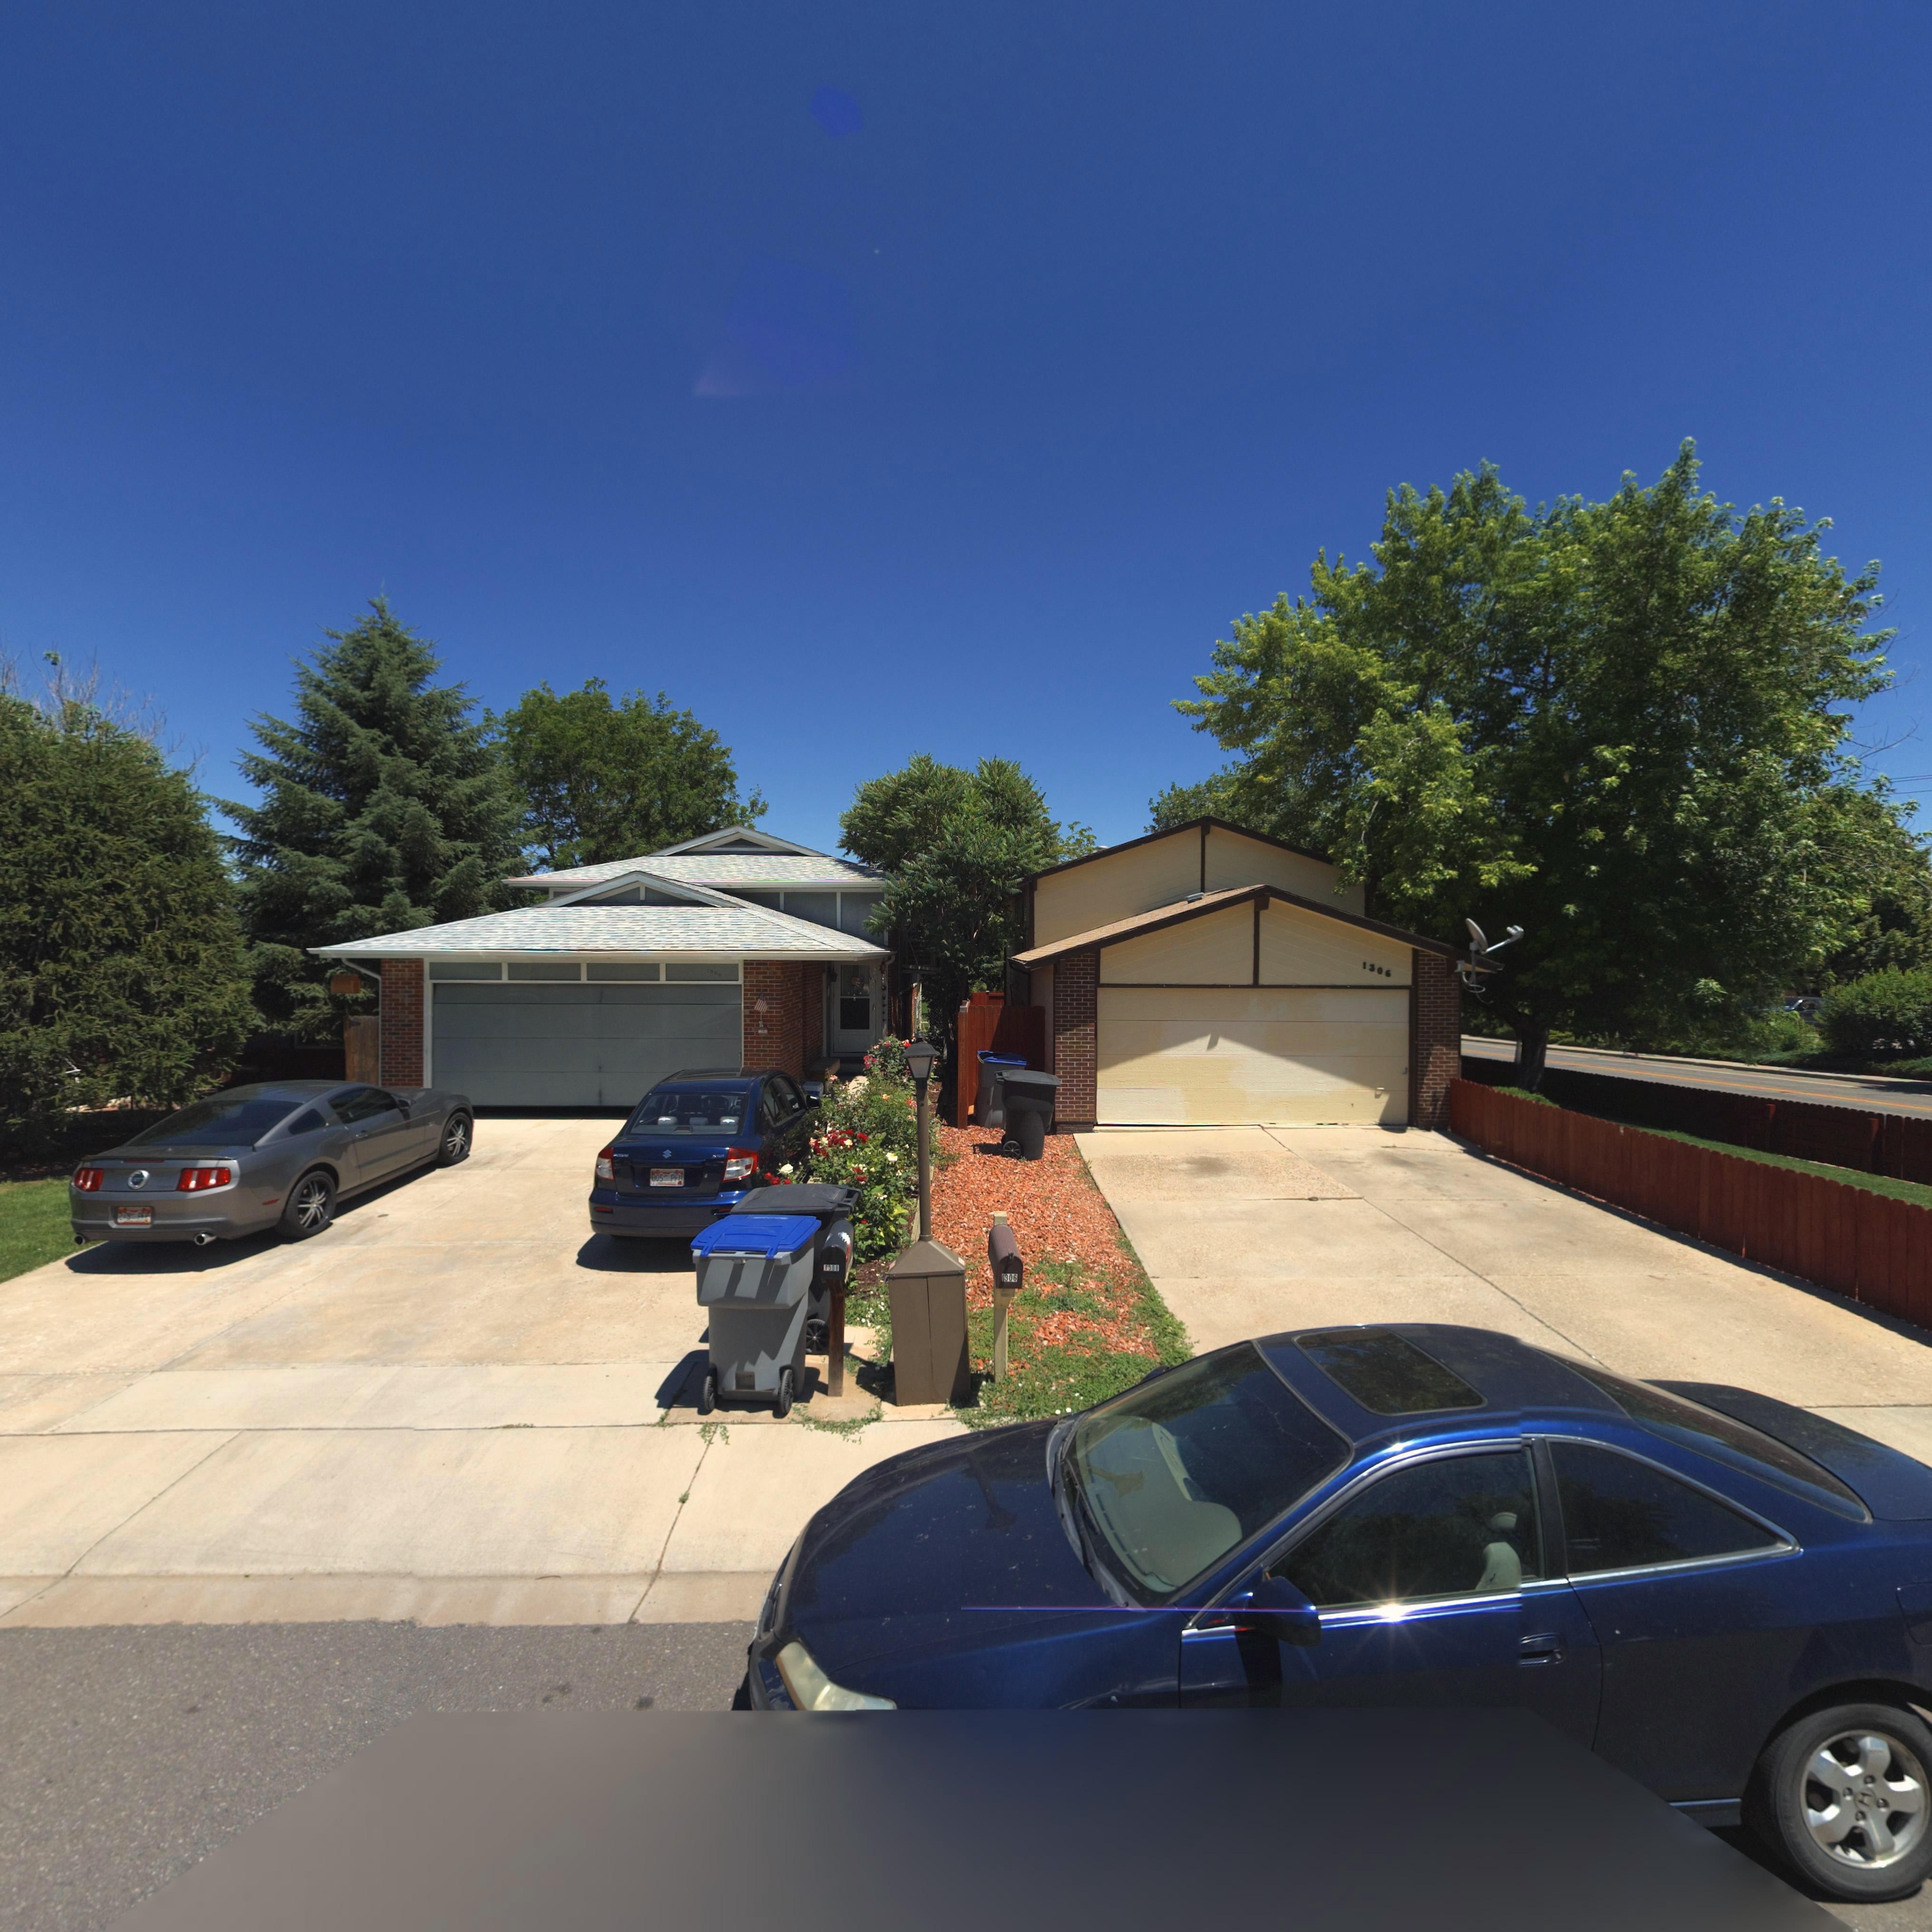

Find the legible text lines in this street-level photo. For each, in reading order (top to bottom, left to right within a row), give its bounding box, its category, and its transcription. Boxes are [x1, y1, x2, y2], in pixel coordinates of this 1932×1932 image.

[1362, 961, 1391, 978] StreetNumber: 1306
[825, 1265, 838, 1270] StreetNumber: 1308
[1002, 1274, 1017, 1281] StreetNumber: 1306